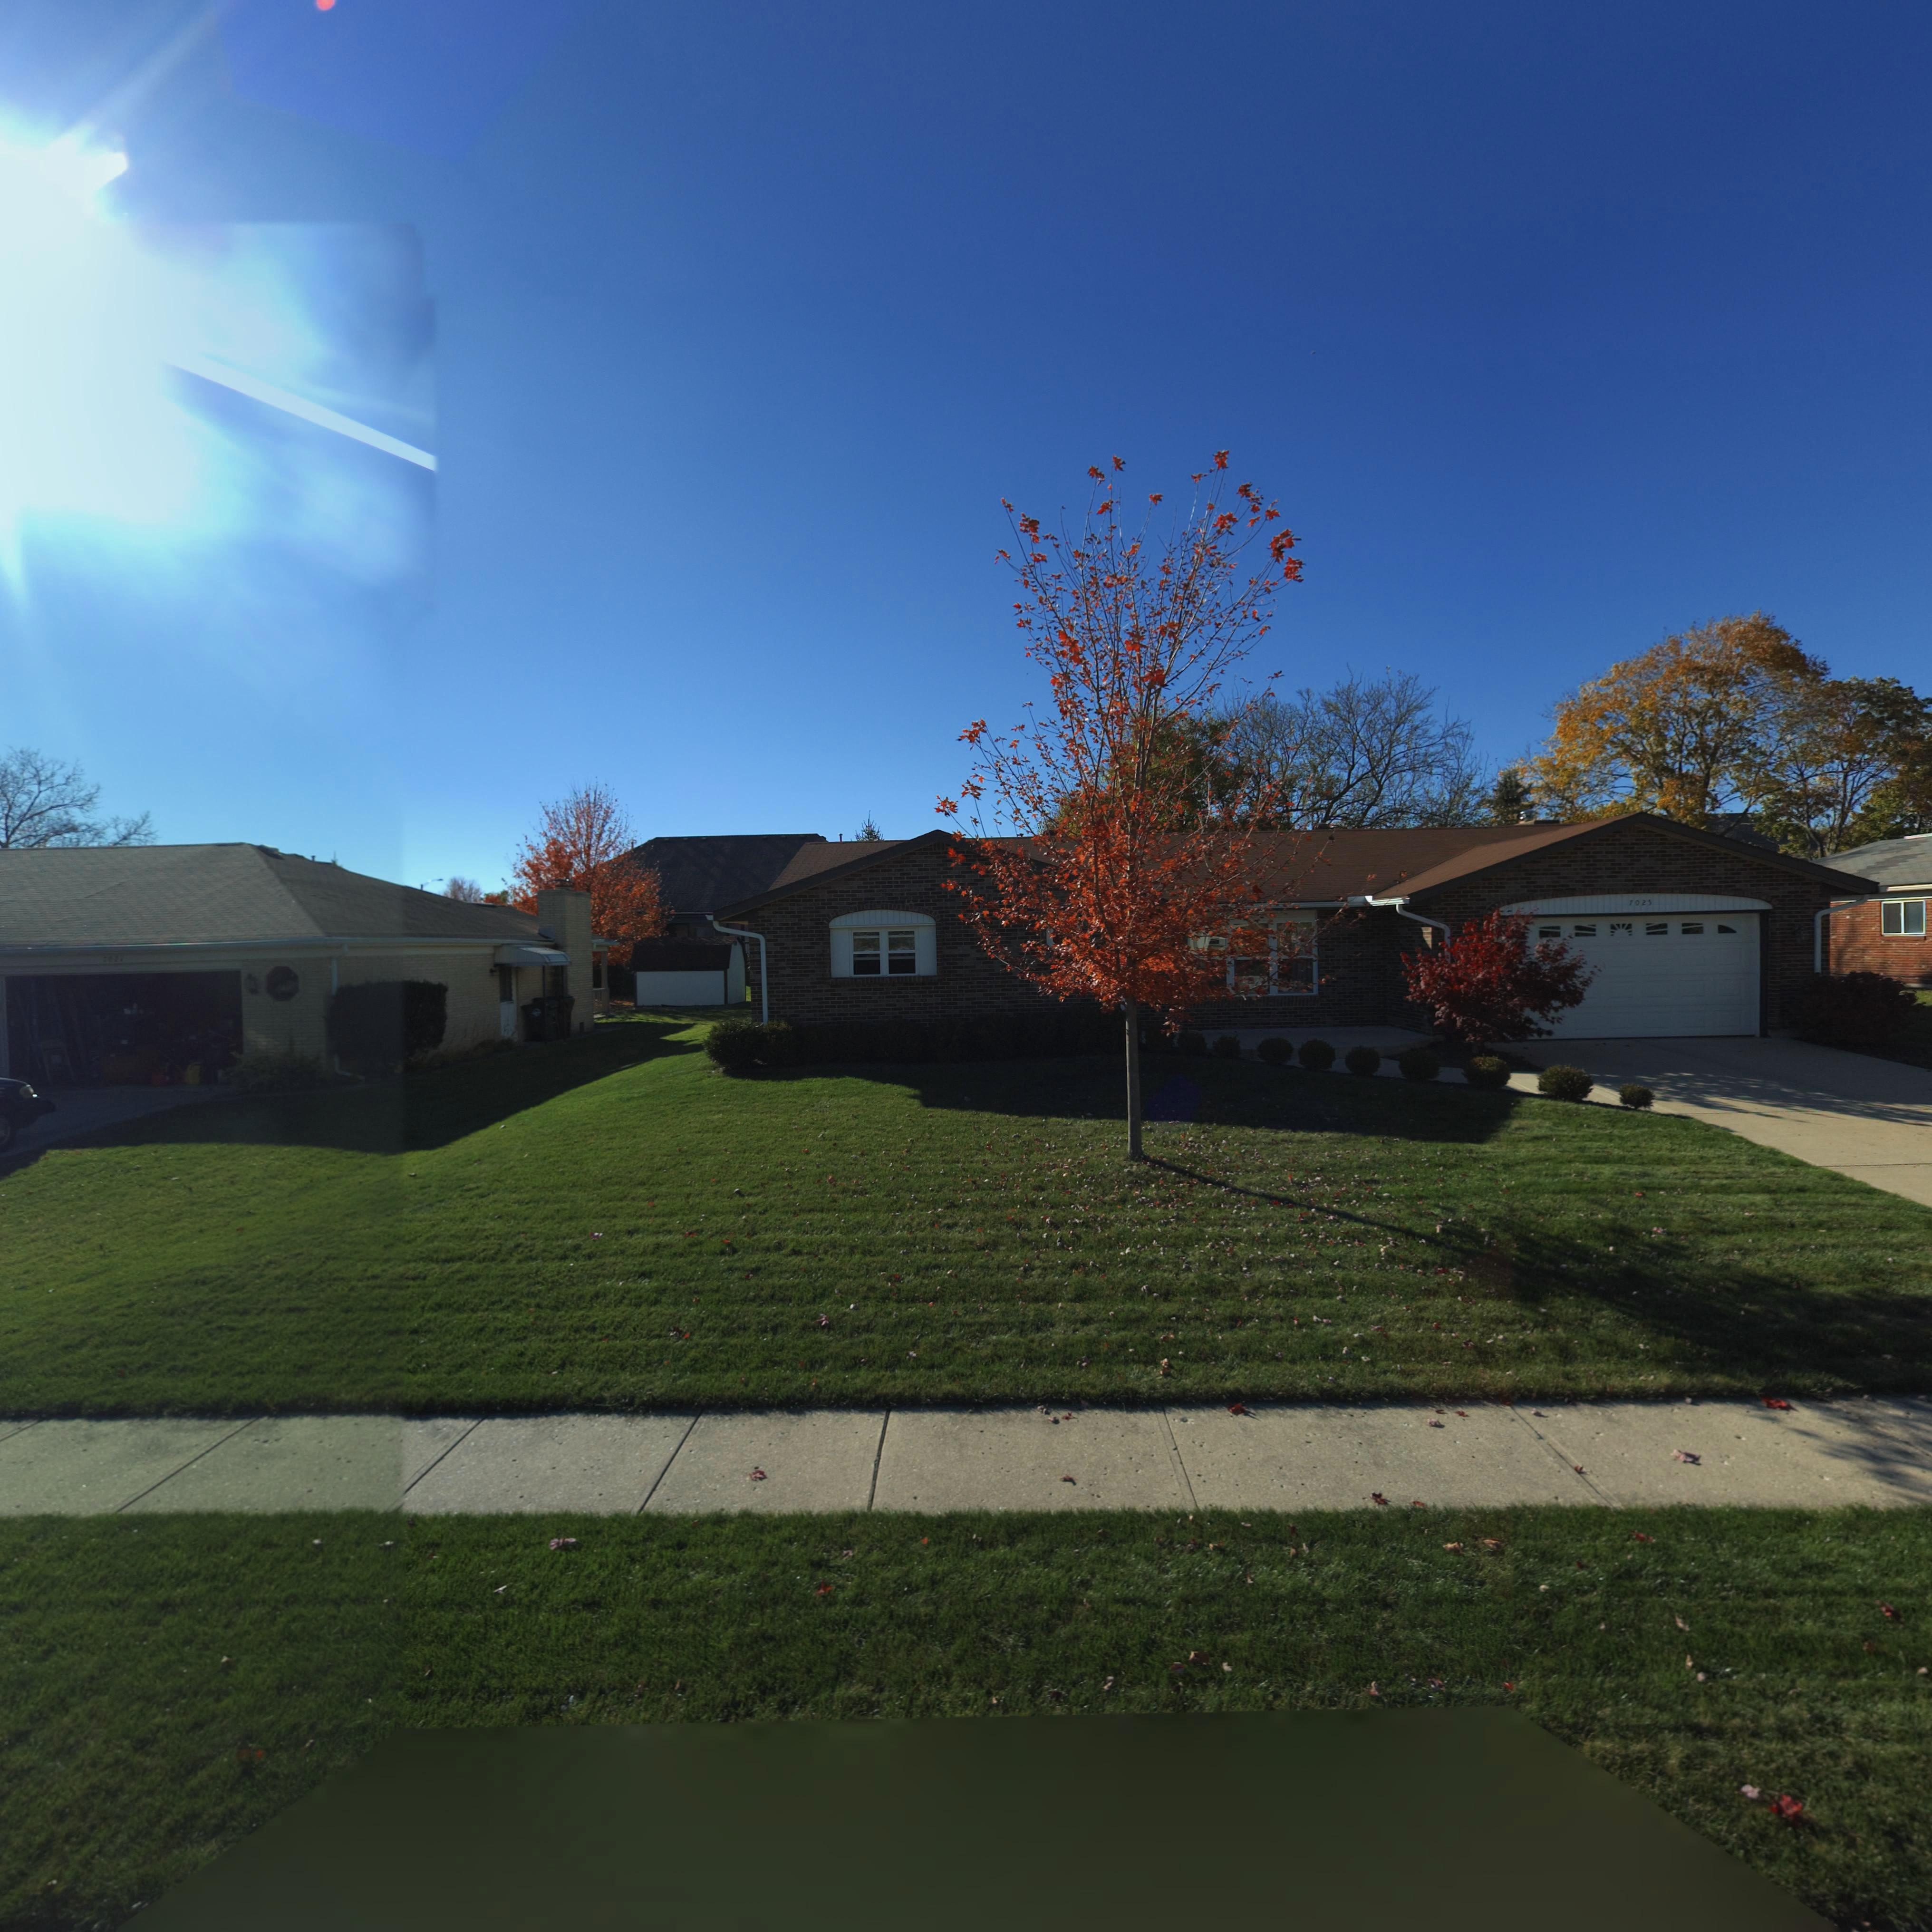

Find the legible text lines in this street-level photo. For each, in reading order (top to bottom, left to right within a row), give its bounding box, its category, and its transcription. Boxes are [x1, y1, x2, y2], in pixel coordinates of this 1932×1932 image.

[1629, 898, 1652, 907] StreetNumber: 7025
[102, 954, 126, 963] StreetNumber: 7027